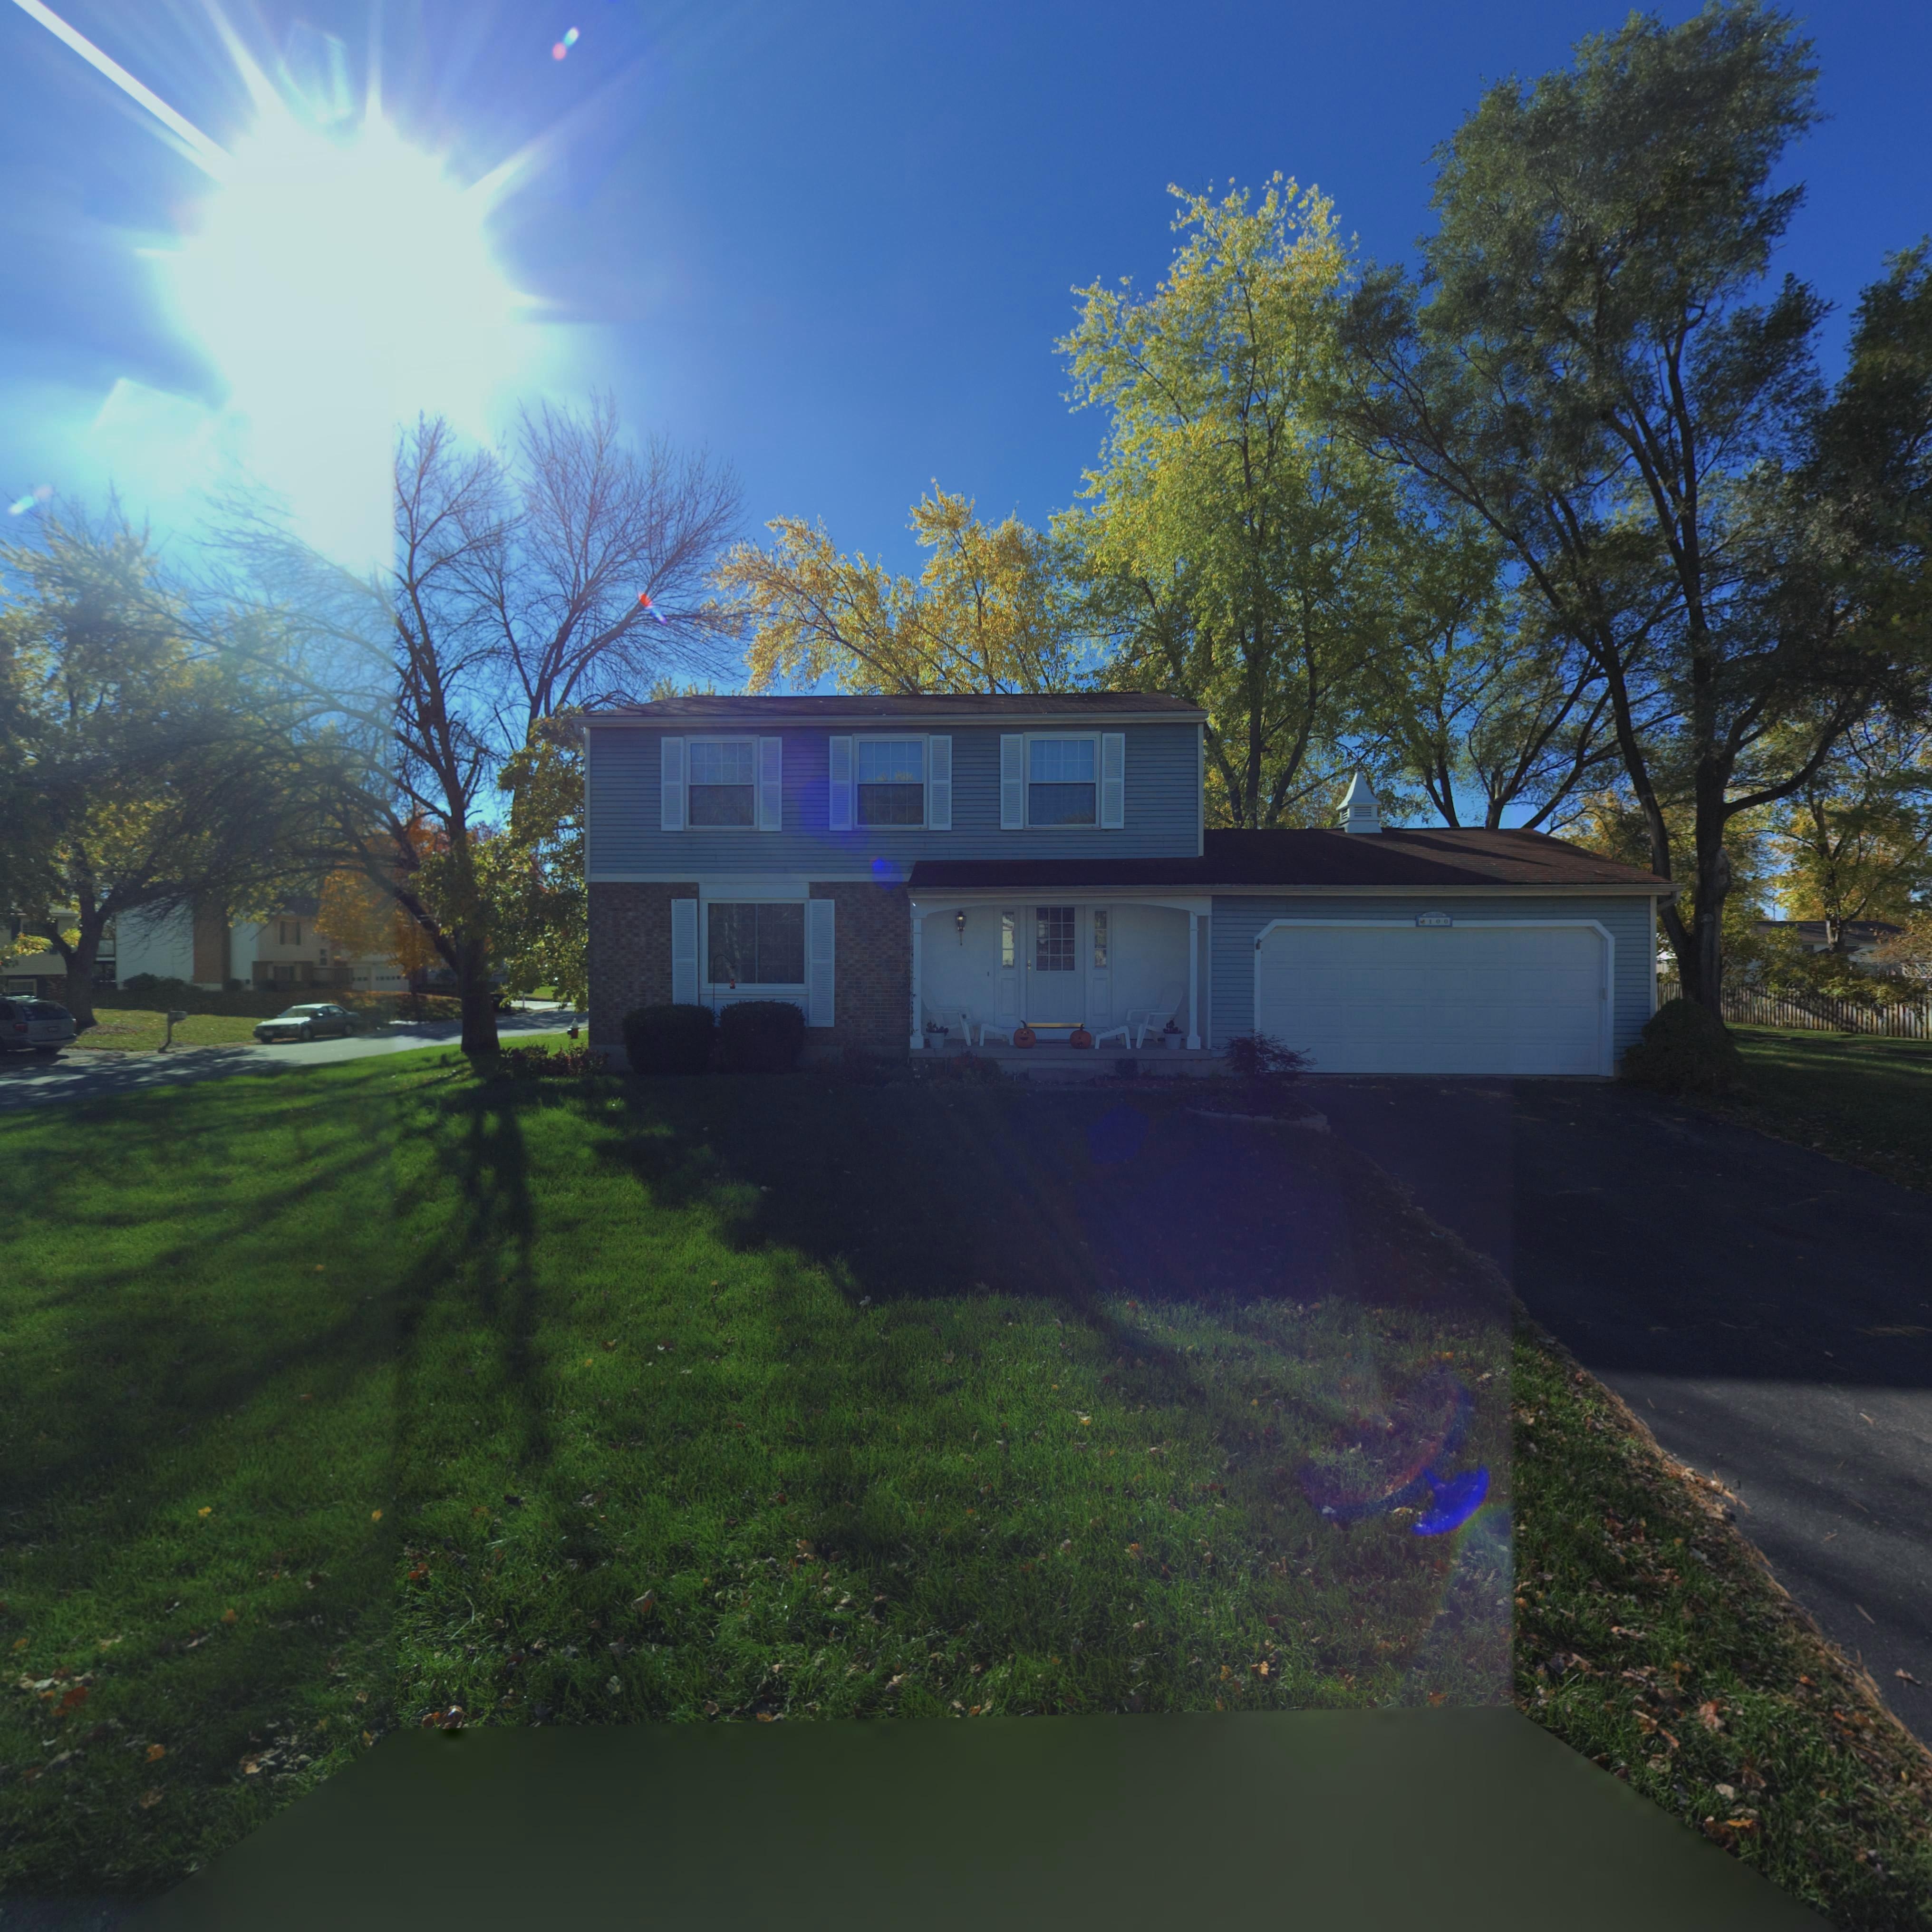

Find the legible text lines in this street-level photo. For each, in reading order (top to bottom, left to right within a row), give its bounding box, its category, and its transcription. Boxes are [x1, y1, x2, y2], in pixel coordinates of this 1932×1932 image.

[1419, 918, 1449, 925] StreetNumber: *100